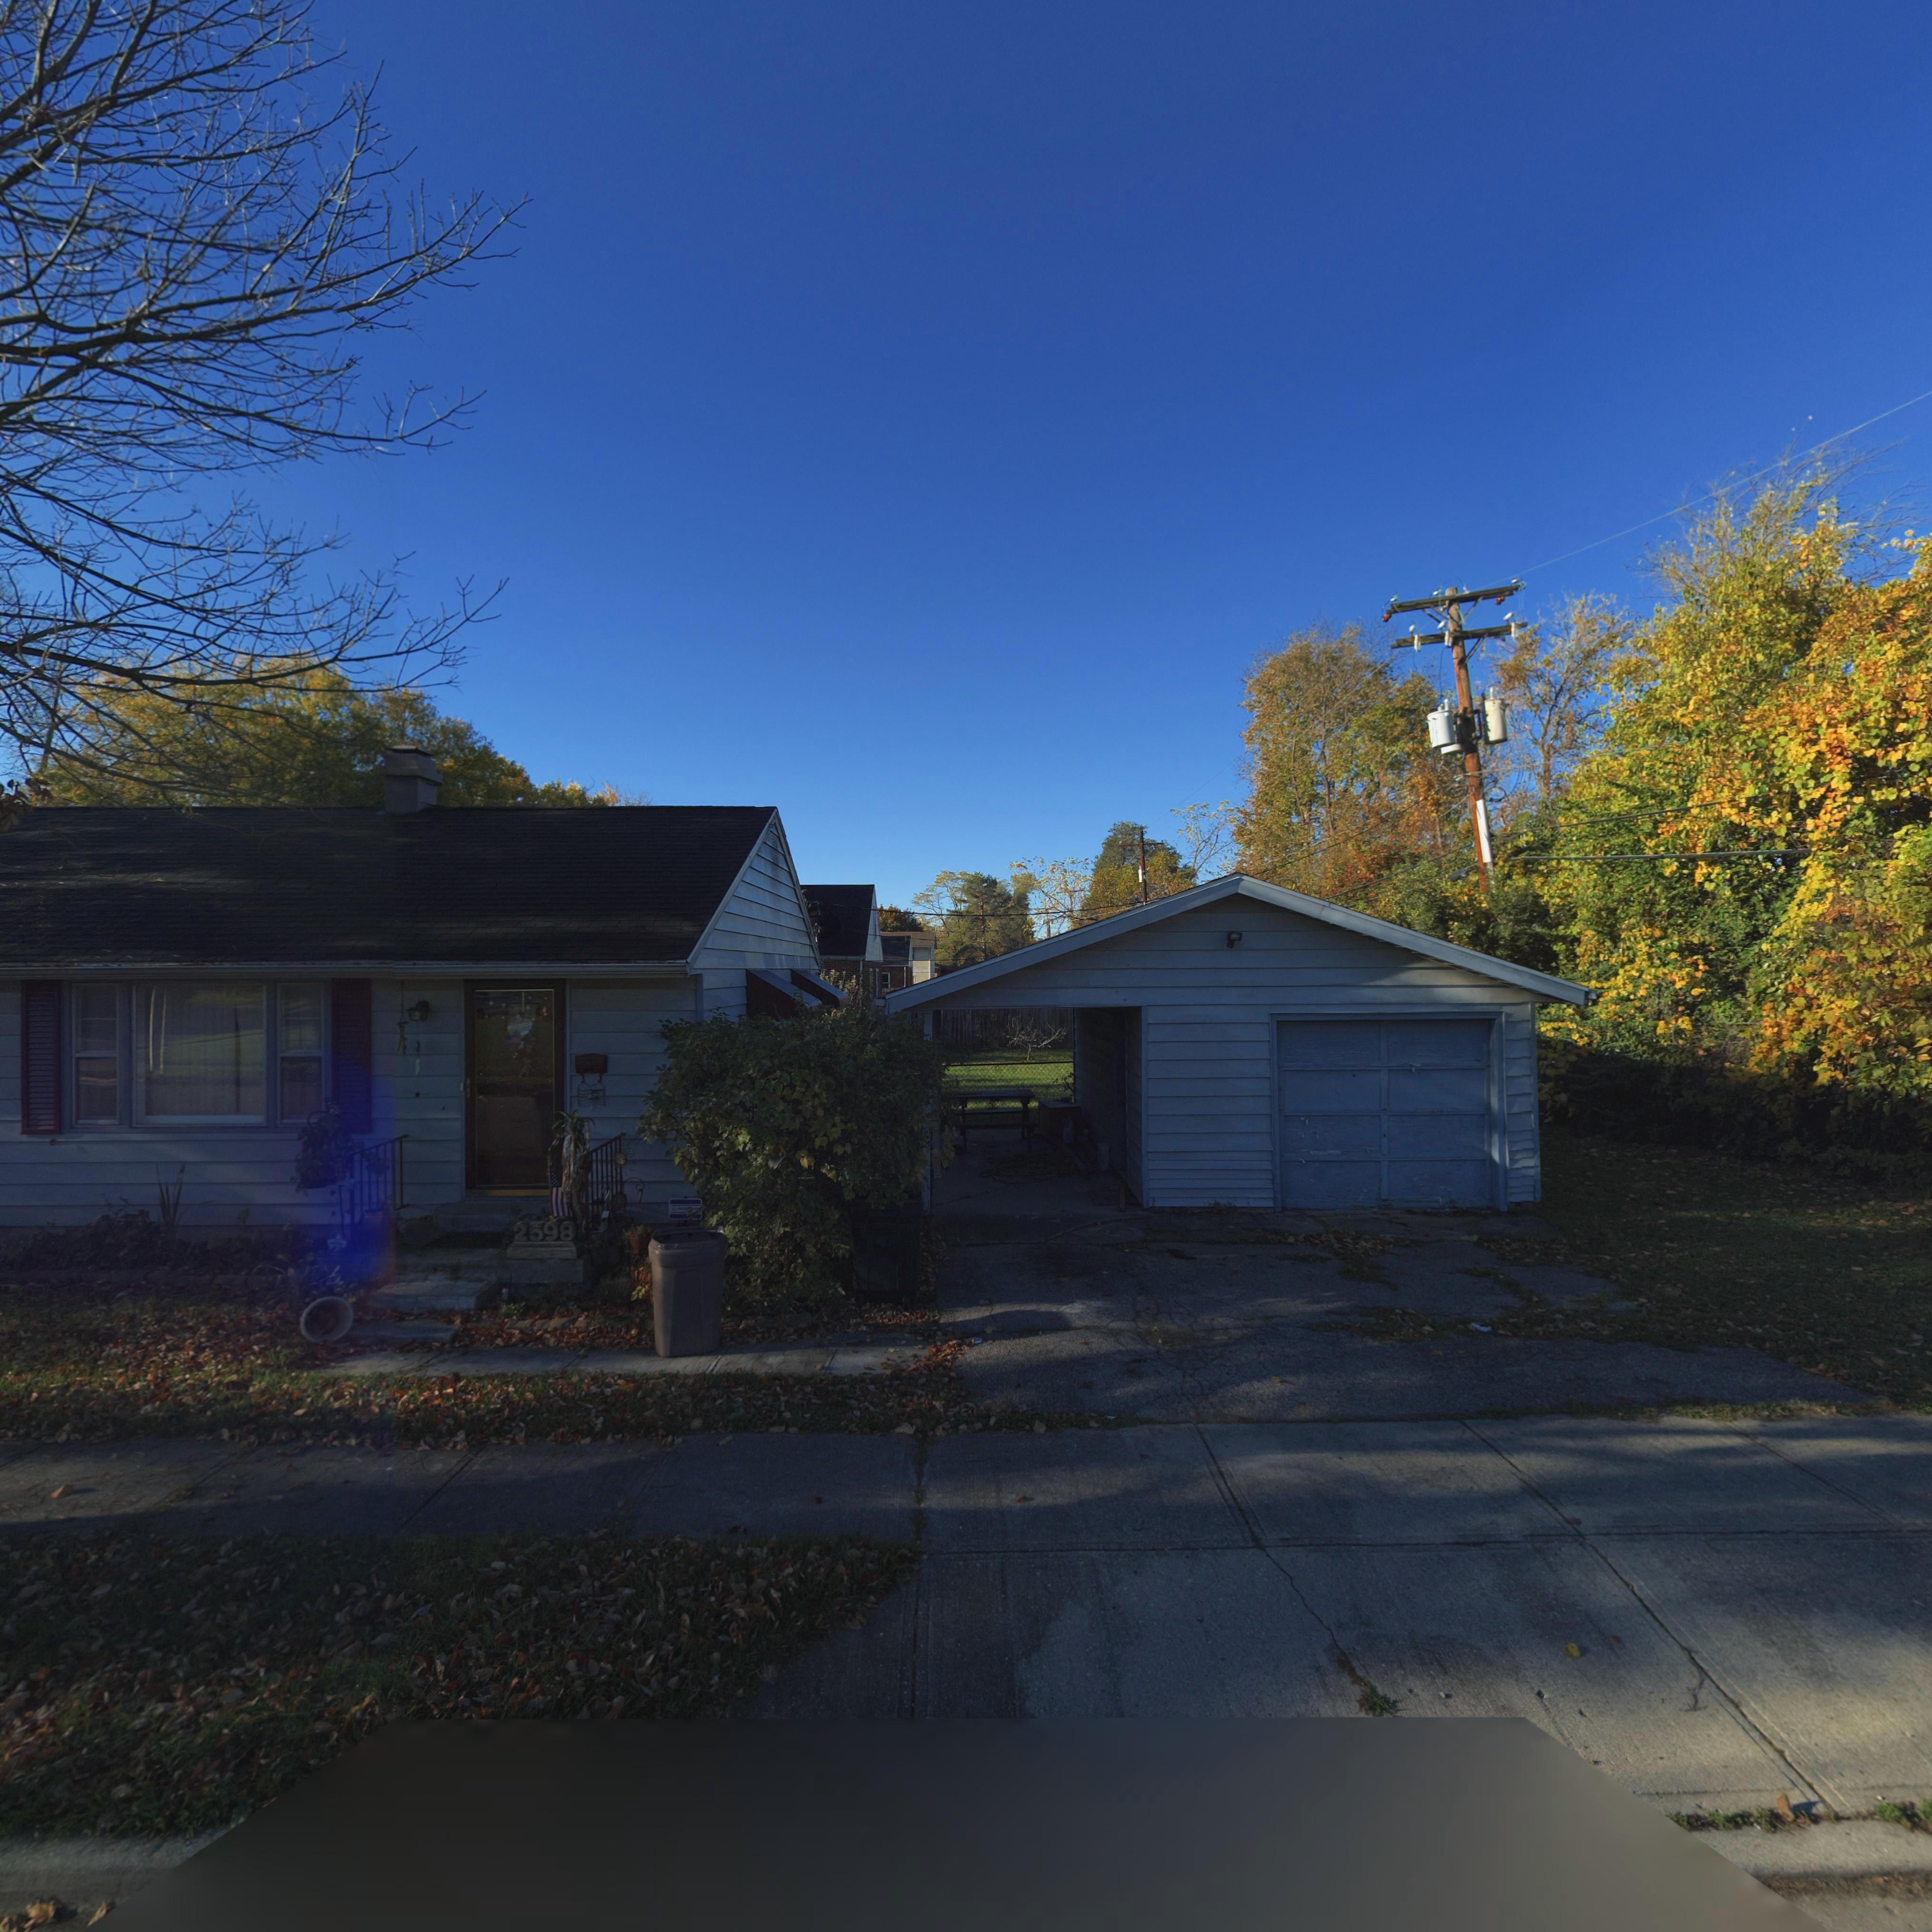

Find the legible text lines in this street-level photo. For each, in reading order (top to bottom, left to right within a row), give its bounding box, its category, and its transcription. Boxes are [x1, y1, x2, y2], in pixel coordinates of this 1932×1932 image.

[512, 1221, 573, 1241] StreetNumber: 2598